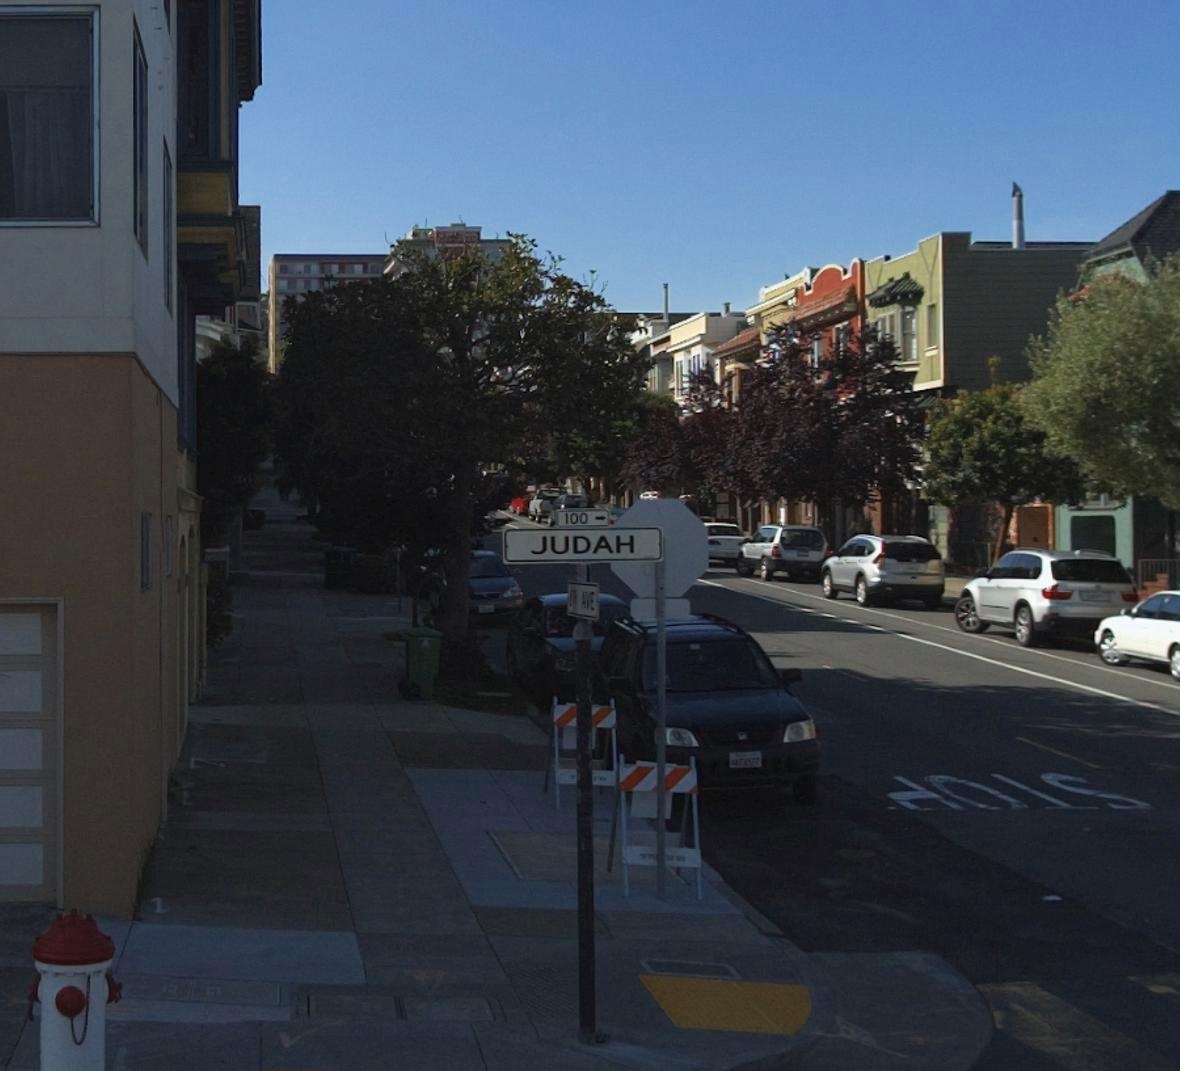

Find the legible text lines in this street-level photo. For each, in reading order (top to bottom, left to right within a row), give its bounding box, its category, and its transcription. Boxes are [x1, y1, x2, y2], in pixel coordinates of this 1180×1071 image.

[562, 509, 607, 527] StreetNumberRange: 100->
[529, 532, 636, 557] StreetName: JUDAH
[579, 590, 596, 613] None: AVE